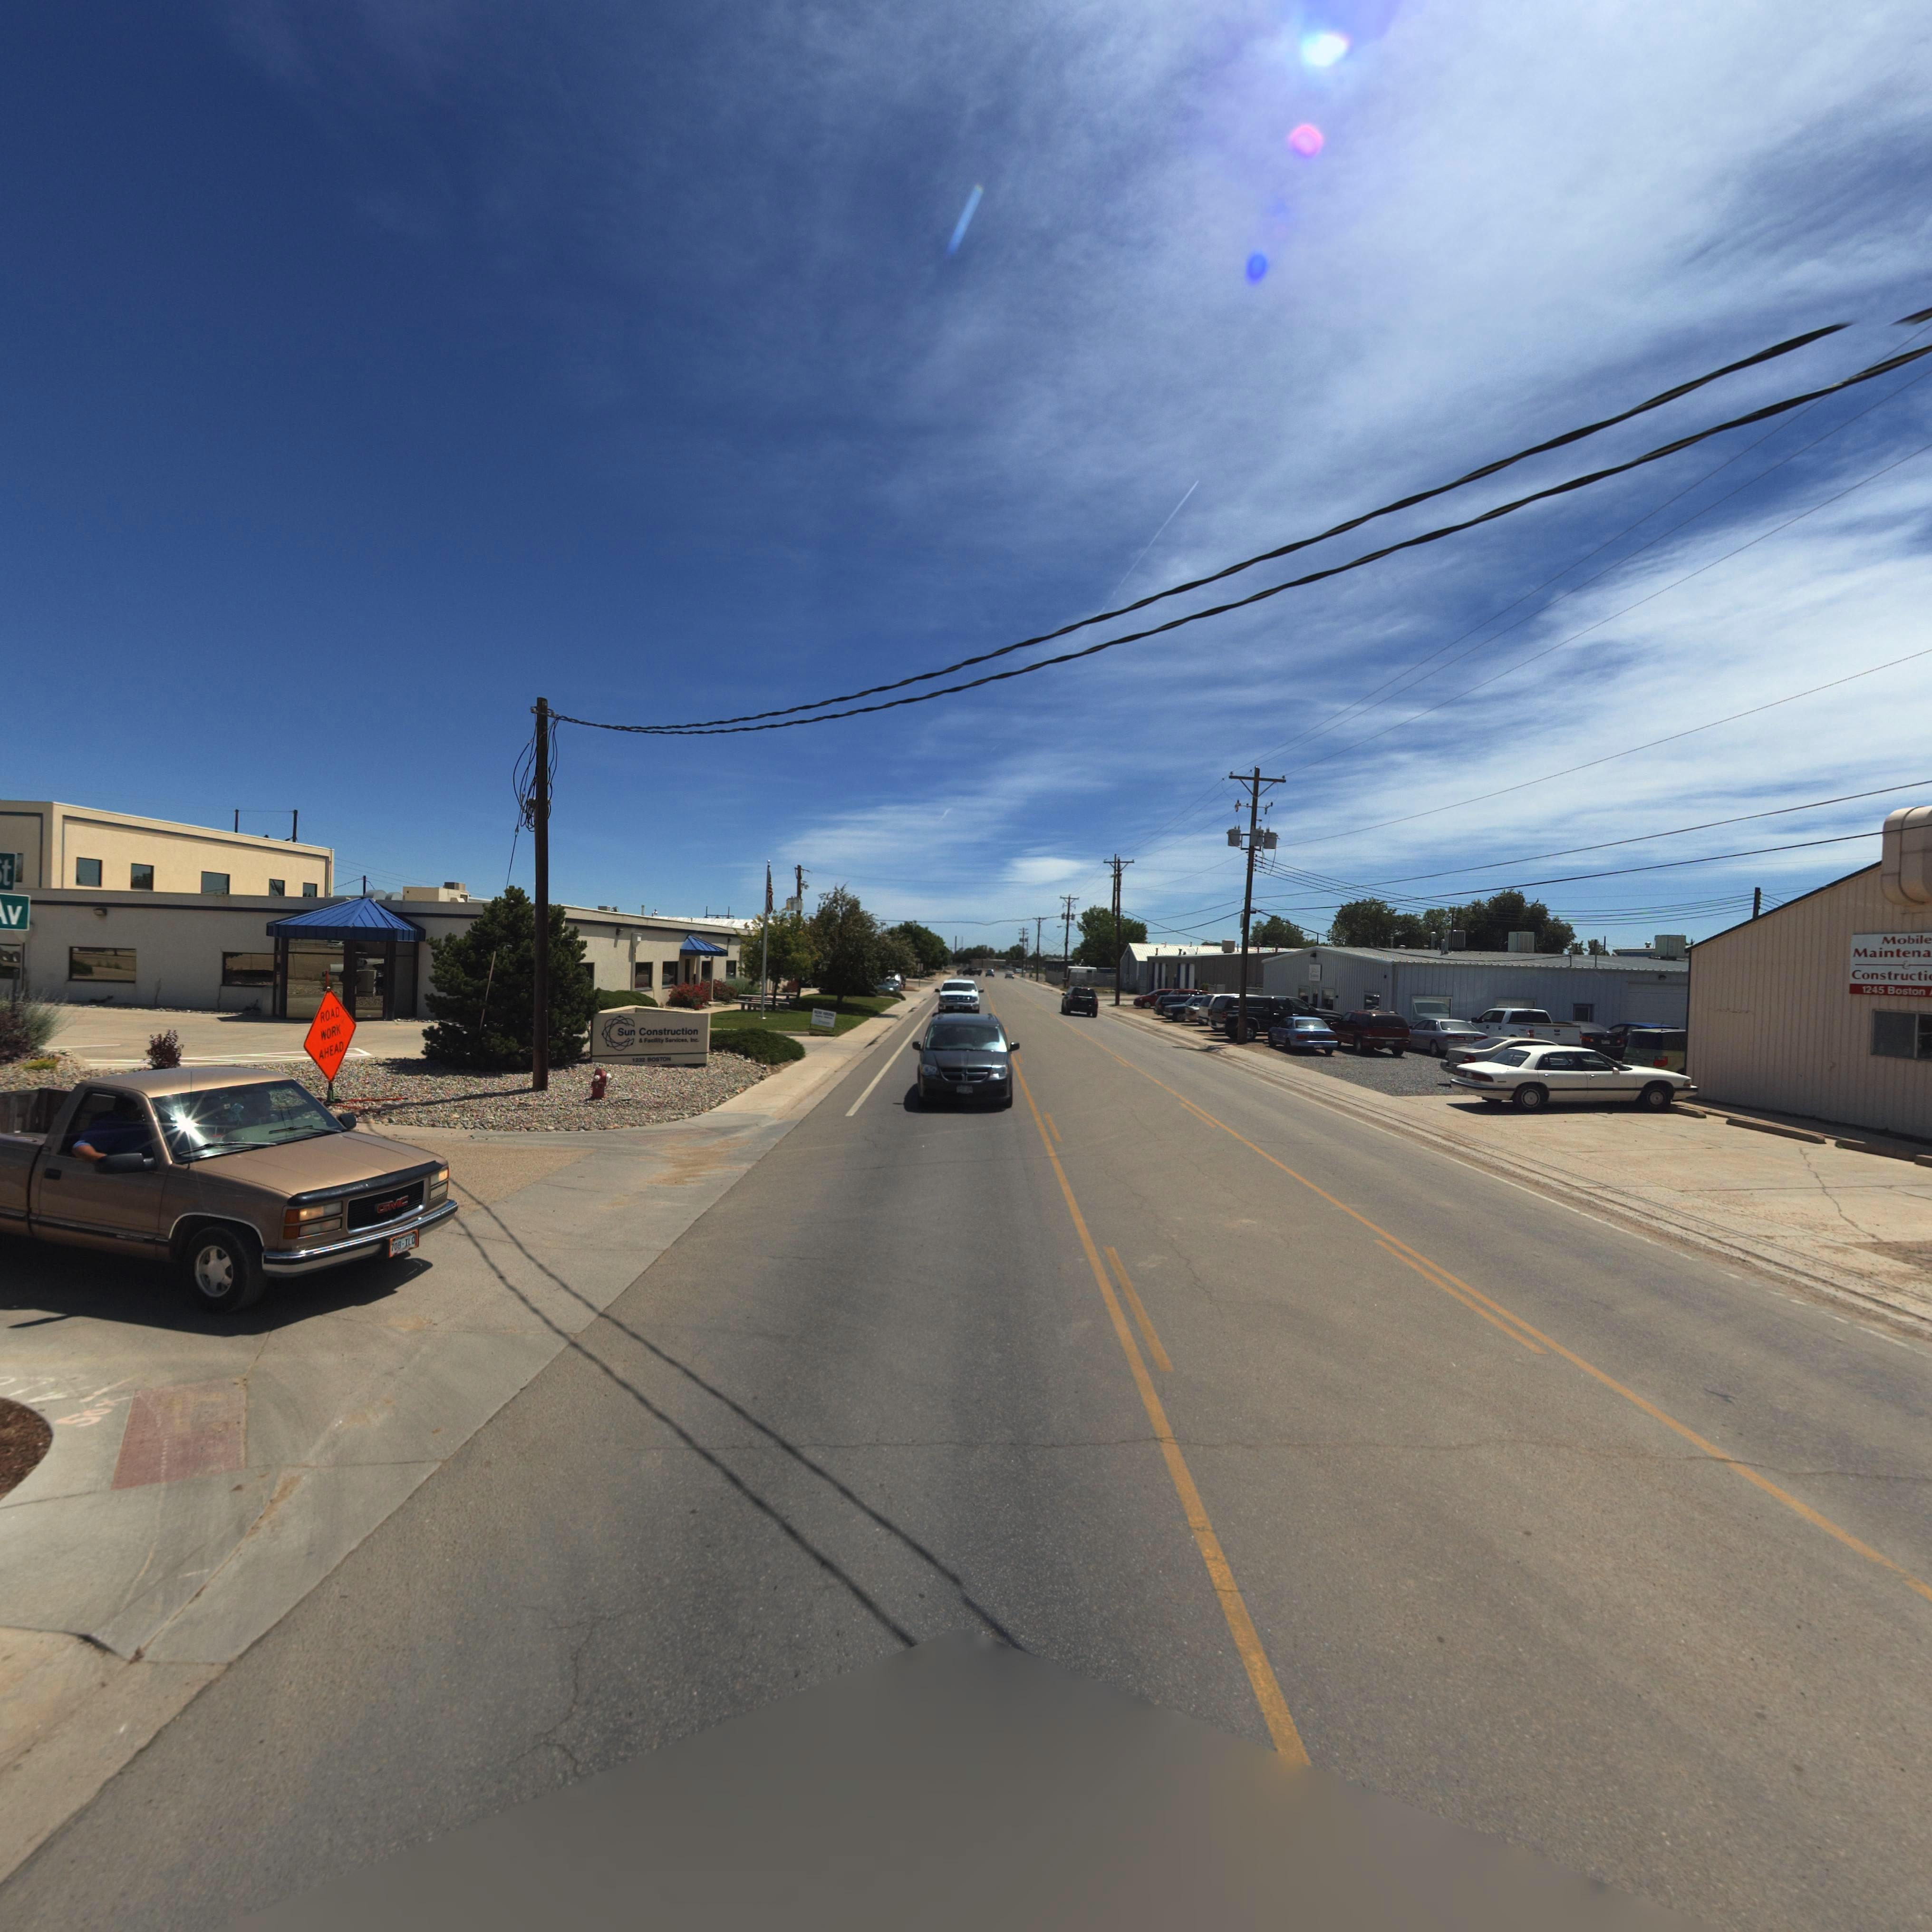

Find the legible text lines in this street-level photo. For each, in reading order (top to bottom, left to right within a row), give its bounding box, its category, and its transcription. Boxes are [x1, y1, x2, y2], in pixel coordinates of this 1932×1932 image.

[1, 858, 12, 887] StreetName: t
[5, 903, 24, 925] StreetNumber: v
[1881, 934, 1923, 945] BusinessName: Mobil
[1852, 947, 1931, 958] BusinessName: Maintena
[1851, 968, 1929, 982] BusinessName: Constructi
[1861, 985, 1885, 994] StreetNumber: 1245
[1886, 985, 1926, 995] StreetName: Boston
[617, 1027, 698, 1036] BusinessName: Sun Construction
[638, 1037, 700, 1043] BusinessName: & Fac***ty Services, Inc.
[632, 1057, 646, 1063] StreetNumber: 1232
[647, 1056, 671, 1062] StreetName: BOSTON